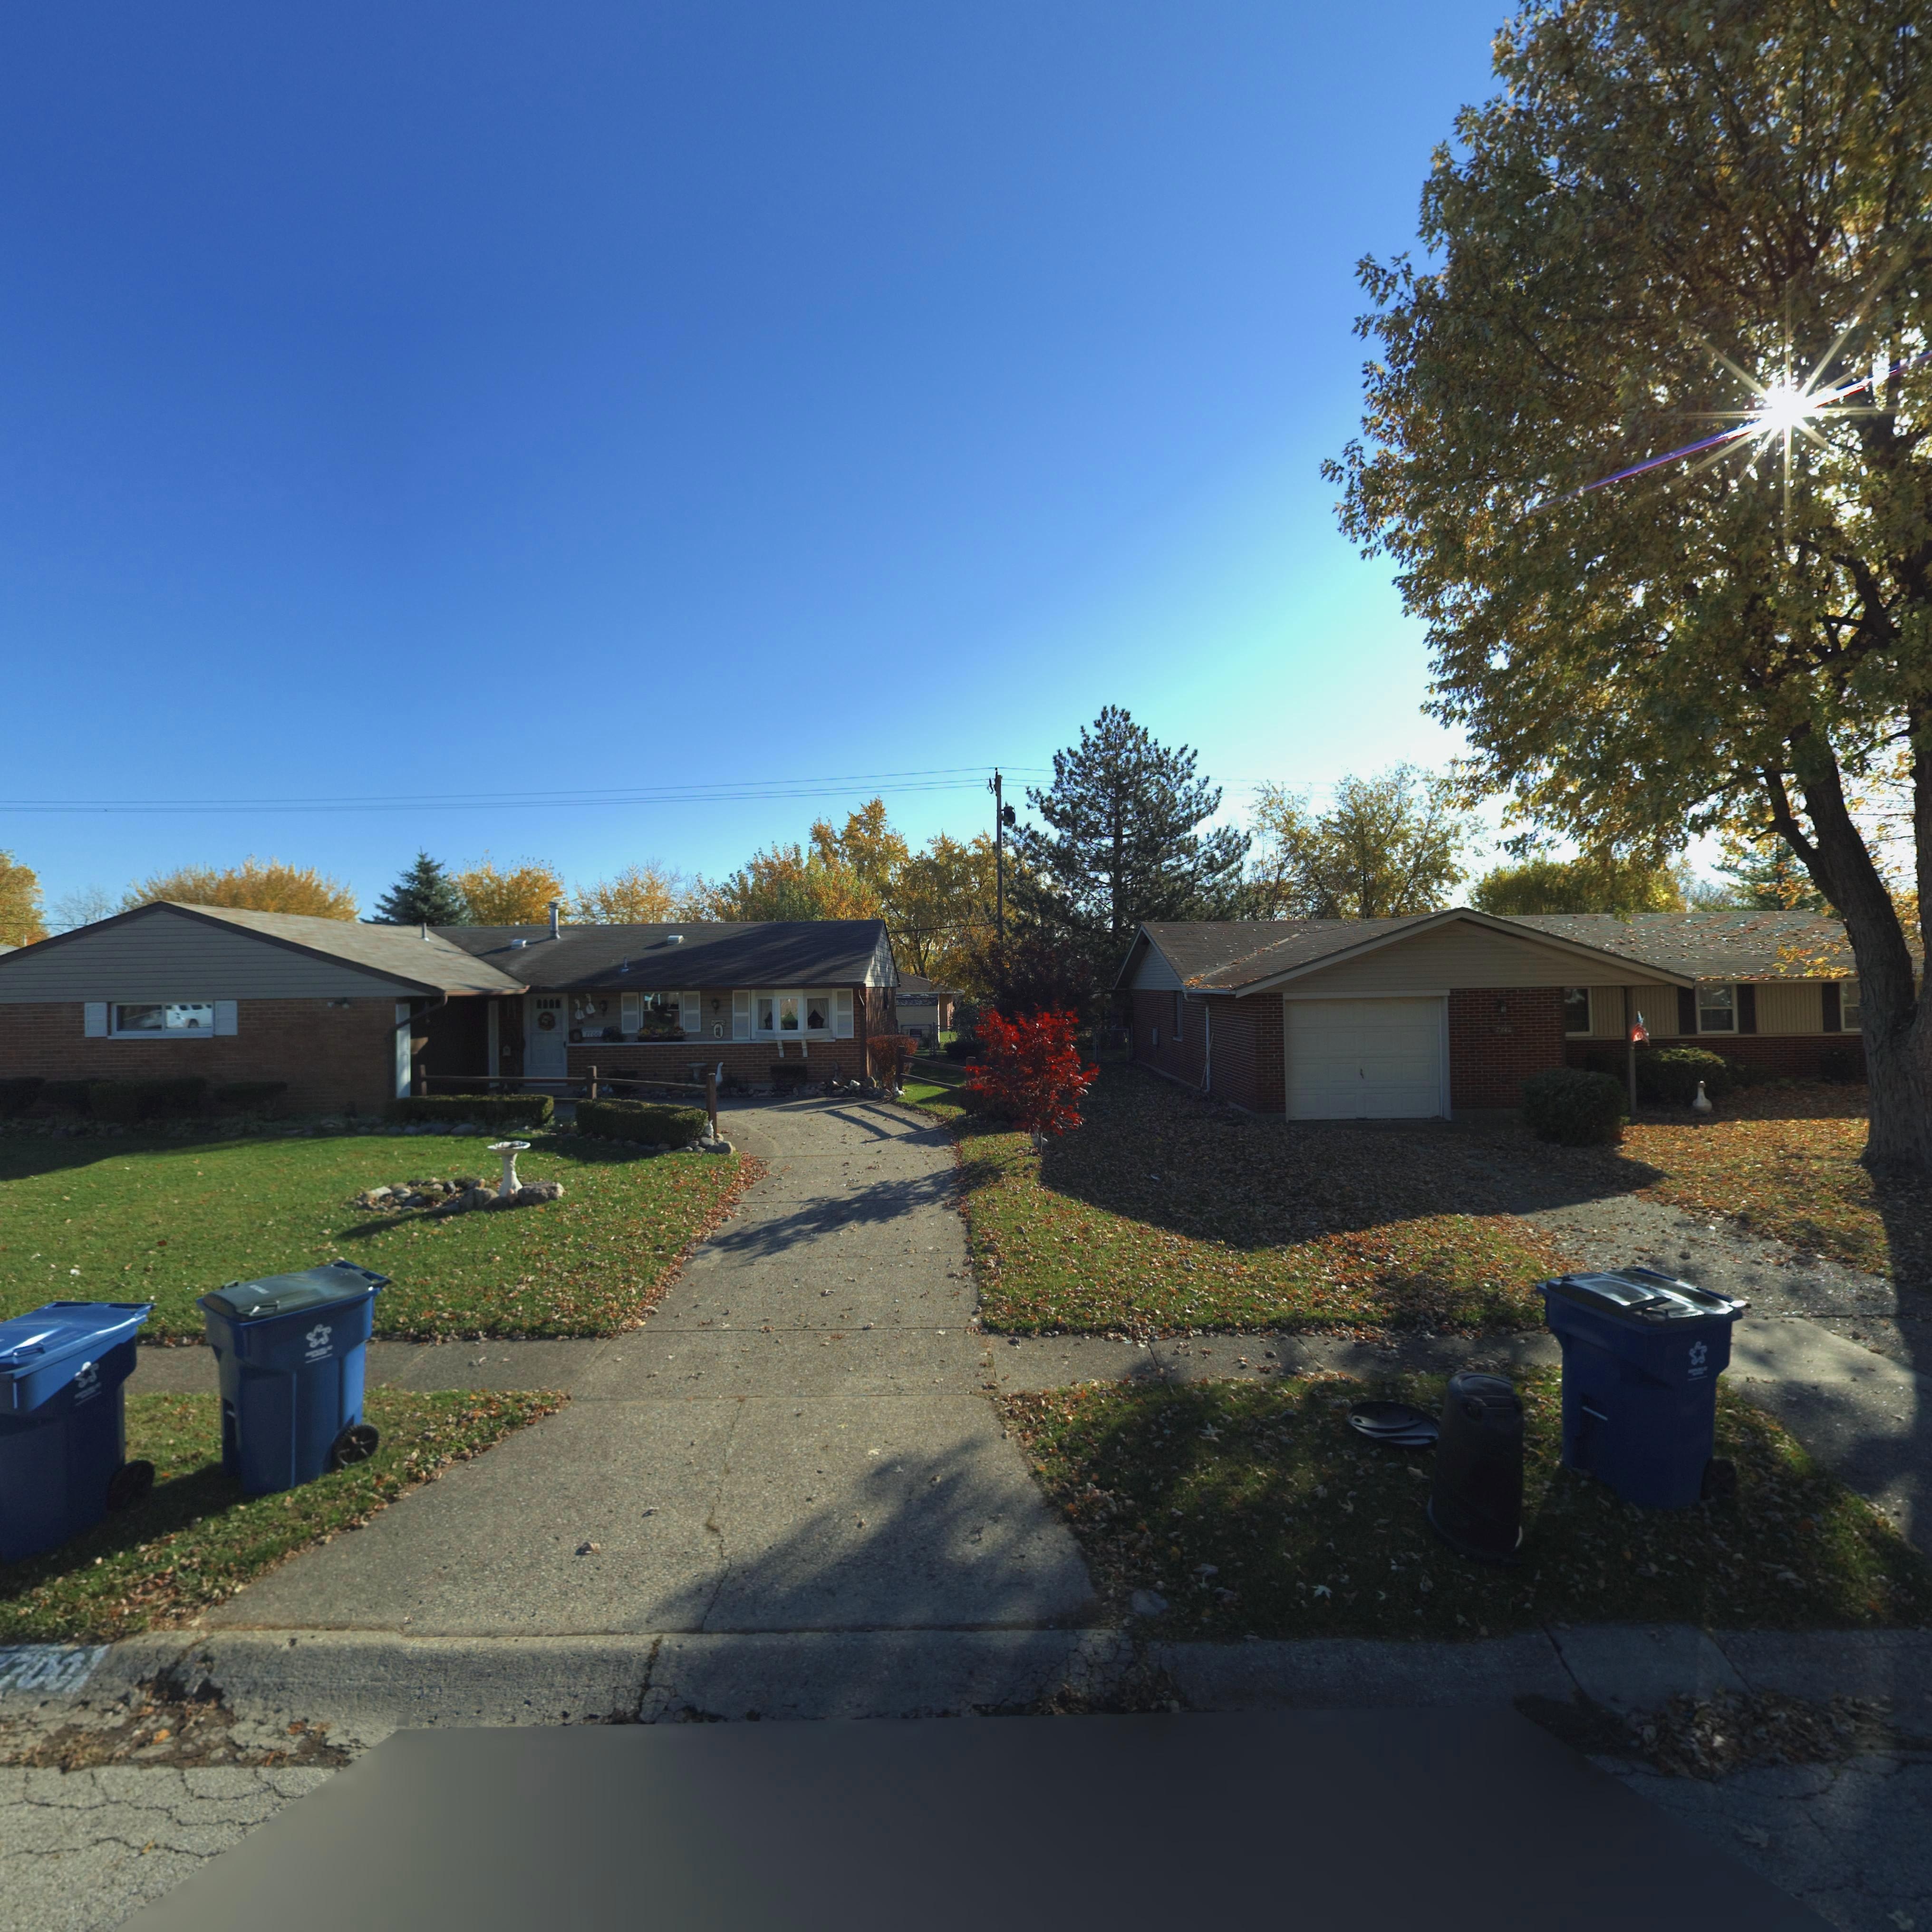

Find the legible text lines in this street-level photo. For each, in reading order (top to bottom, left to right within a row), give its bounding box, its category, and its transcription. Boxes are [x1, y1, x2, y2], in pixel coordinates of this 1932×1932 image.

[584, 1031, 601, 1038] StreetNumber: 7700
[1495, 1025, 1513, 1034] StreetNumber: 7842
[0, 1650, 91, 1695] StreetNumber: 700